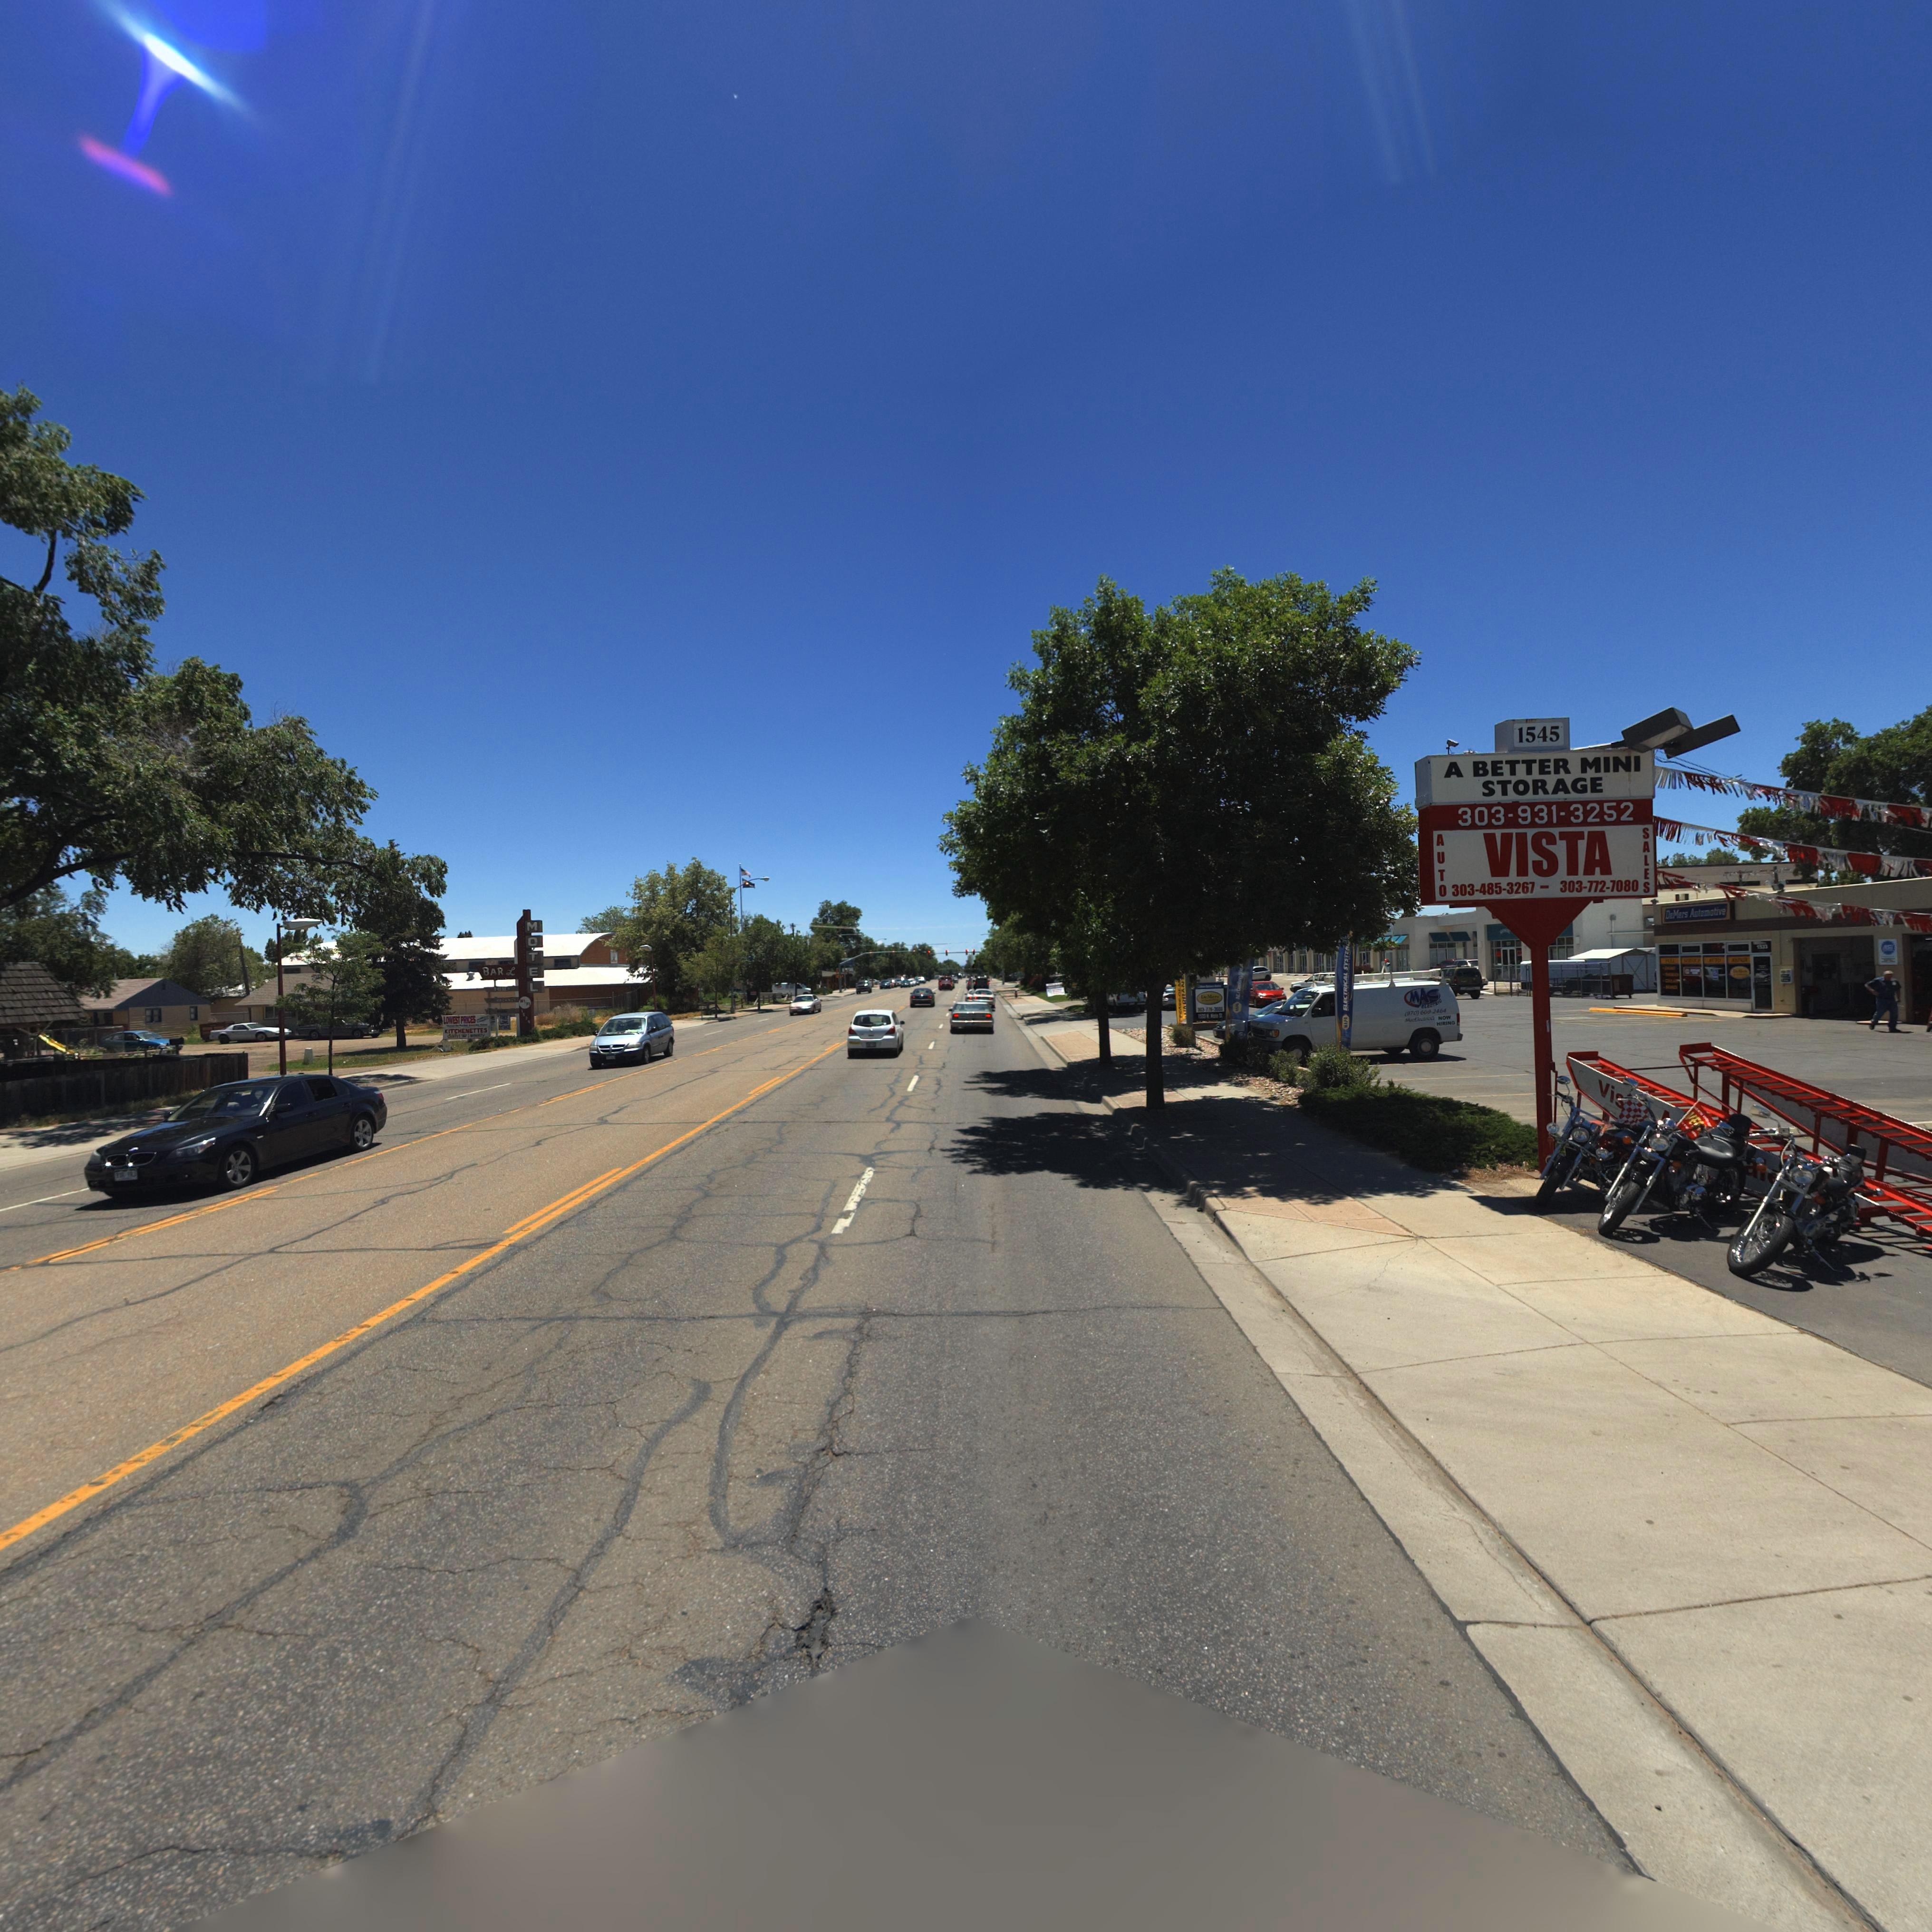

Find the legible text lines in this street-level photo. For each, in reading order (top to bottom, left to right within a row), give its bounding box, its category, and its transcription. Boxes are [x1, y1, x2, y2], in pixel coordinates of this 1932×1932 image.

[1517, 725, 1561, 743] StreetNumber: 1545
[1443, 754, 1641, 778] BusinessName: A BETTER MINI
[1481, 776, 1604, 797] BusinessName: STORAGE
[1435, 832, 1447, 898] BusinessName: AUTO
[1482, 830, 1613, 877] BusinessName: VISTA
[1642, 826, 1650, 894] BusinessName: SALES
[1665, 906, 1727, 919] BusinessName: DeMers Automotive
[1756, 944, 1768, 949] StreetNumber: 1***
[493, 986, 511, 991] StreetNumber: 14**
[1201, 994, 1220, 999] BusinessName: DeMers